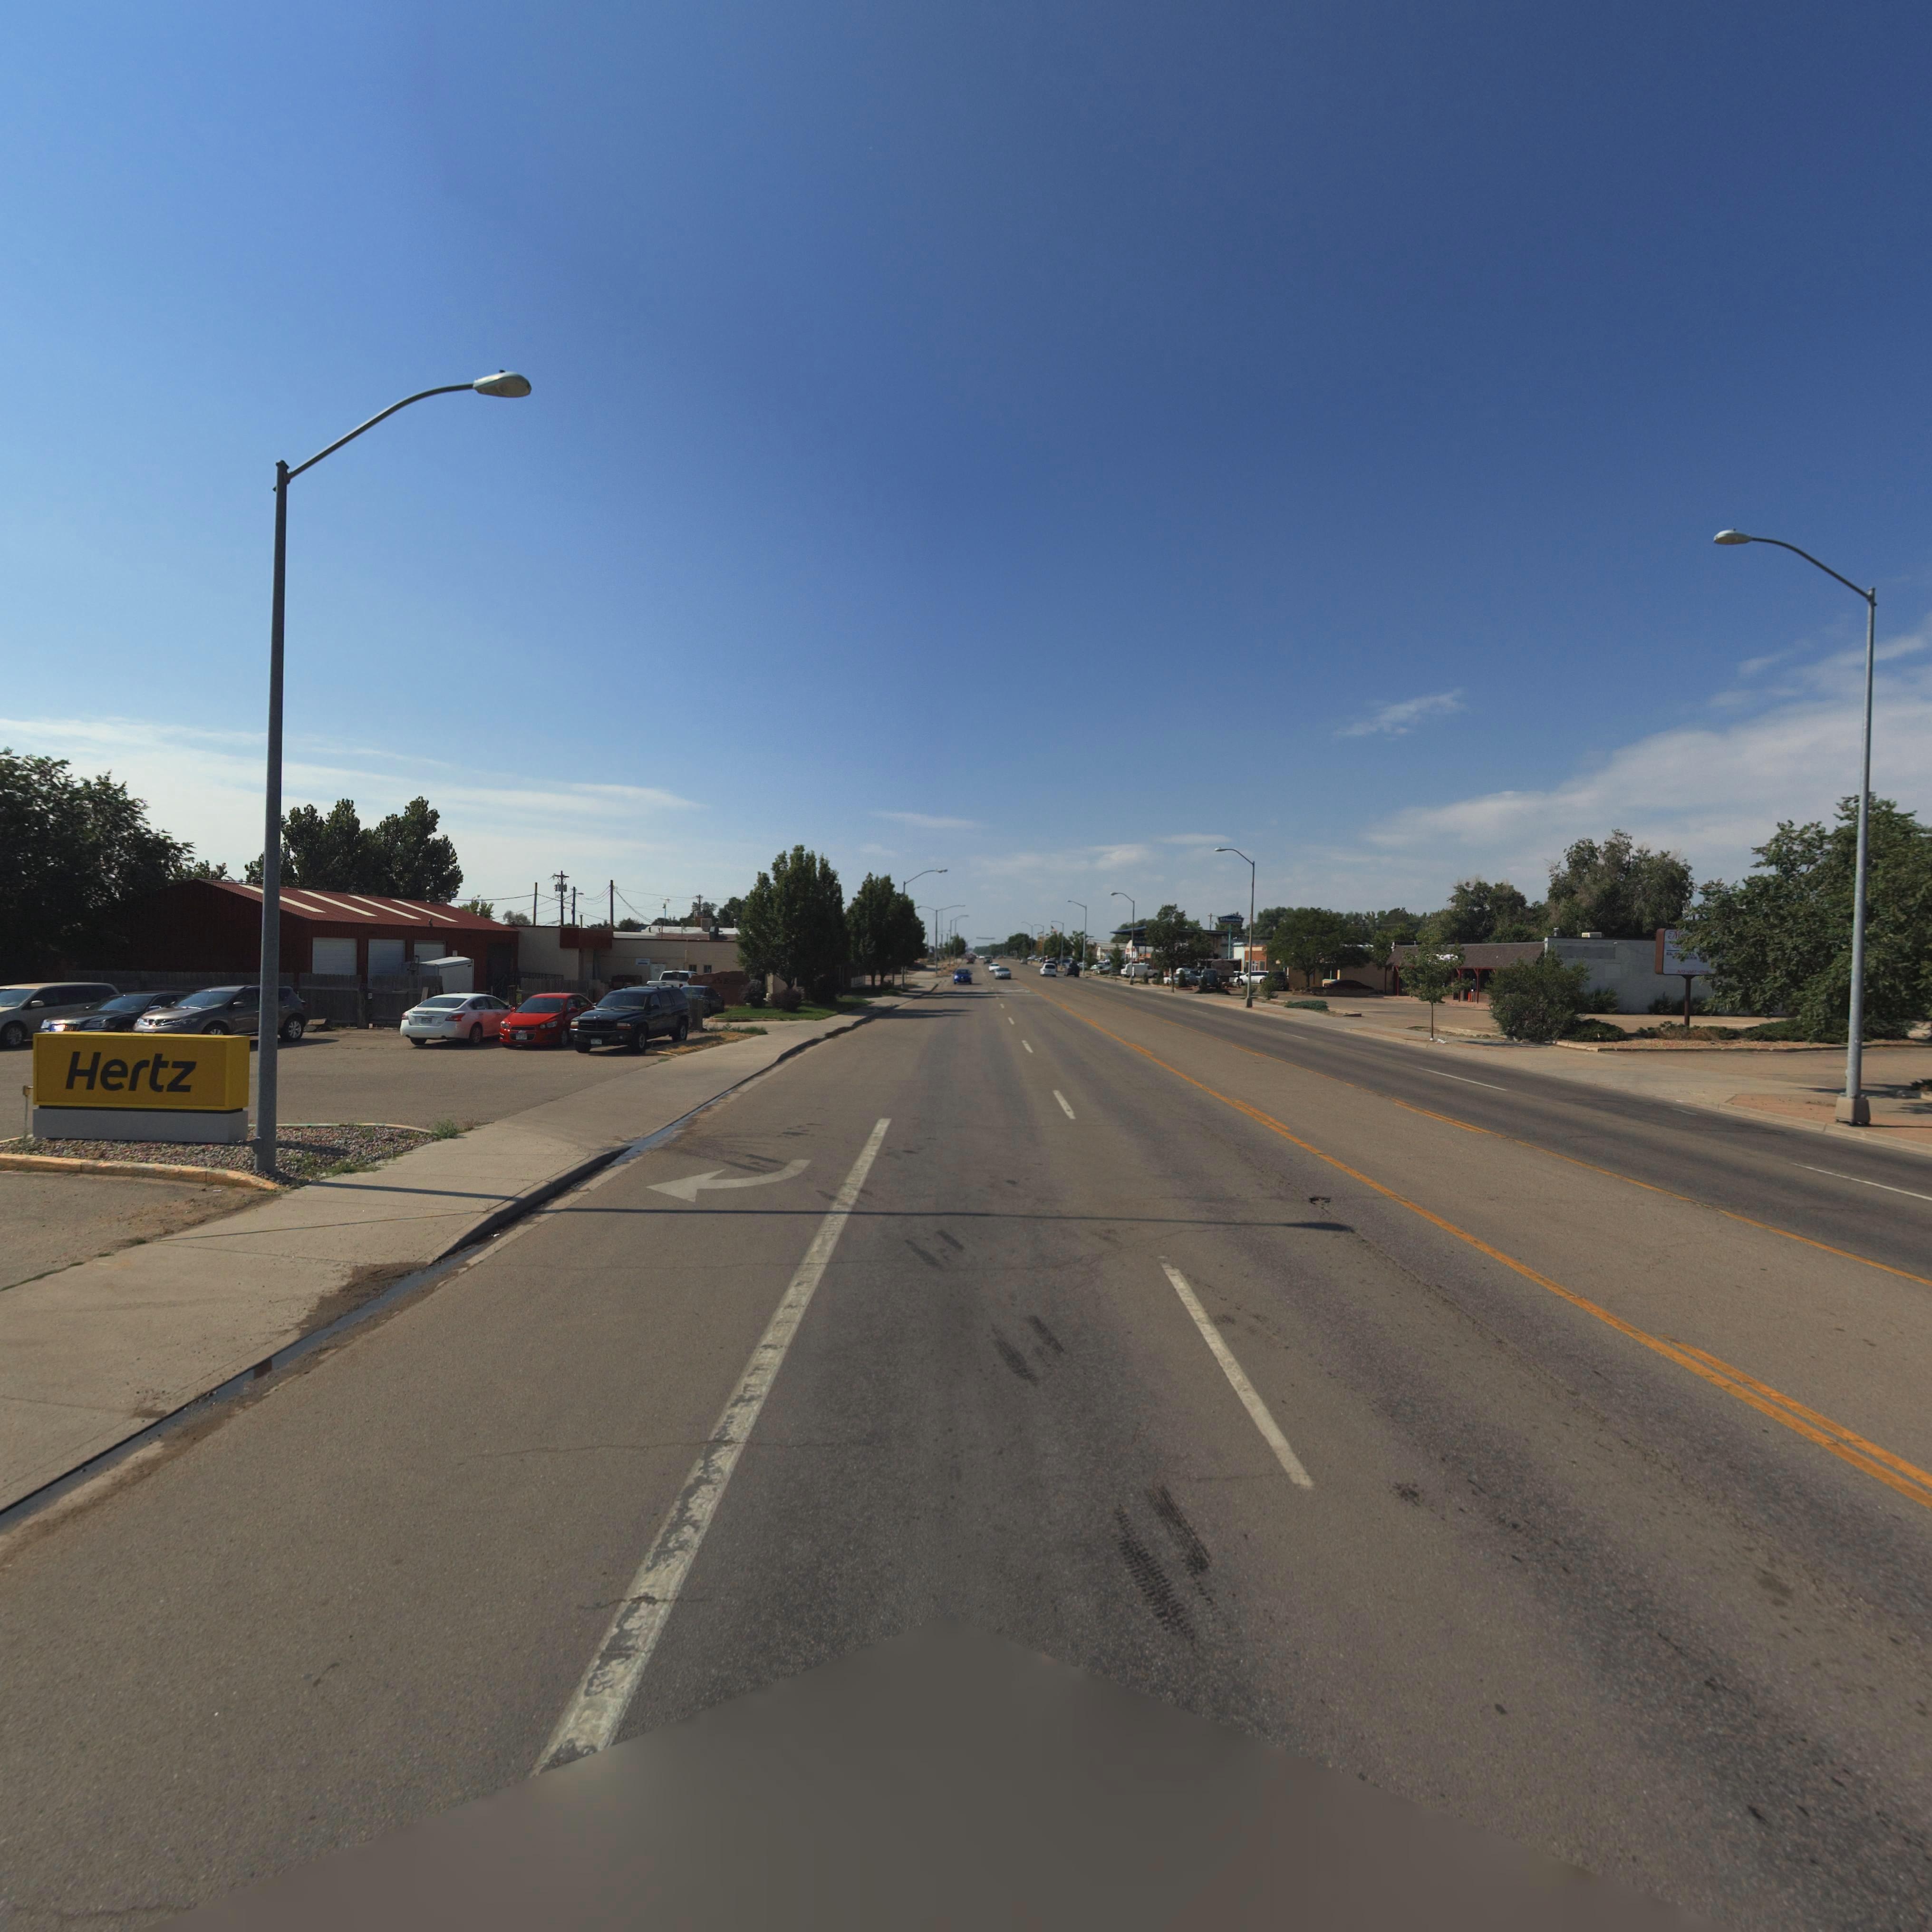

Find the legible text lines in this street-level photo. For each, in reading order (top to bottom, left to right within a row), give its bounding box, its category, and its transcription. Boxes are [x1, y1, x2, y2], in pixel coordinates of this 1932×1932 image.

[1667, 928, 1683, 940] BusinessName: M
[723, 978, 740, 985] BusinessName: E*****
[64, 1050, 198, 1093] BusinessName: Hertz